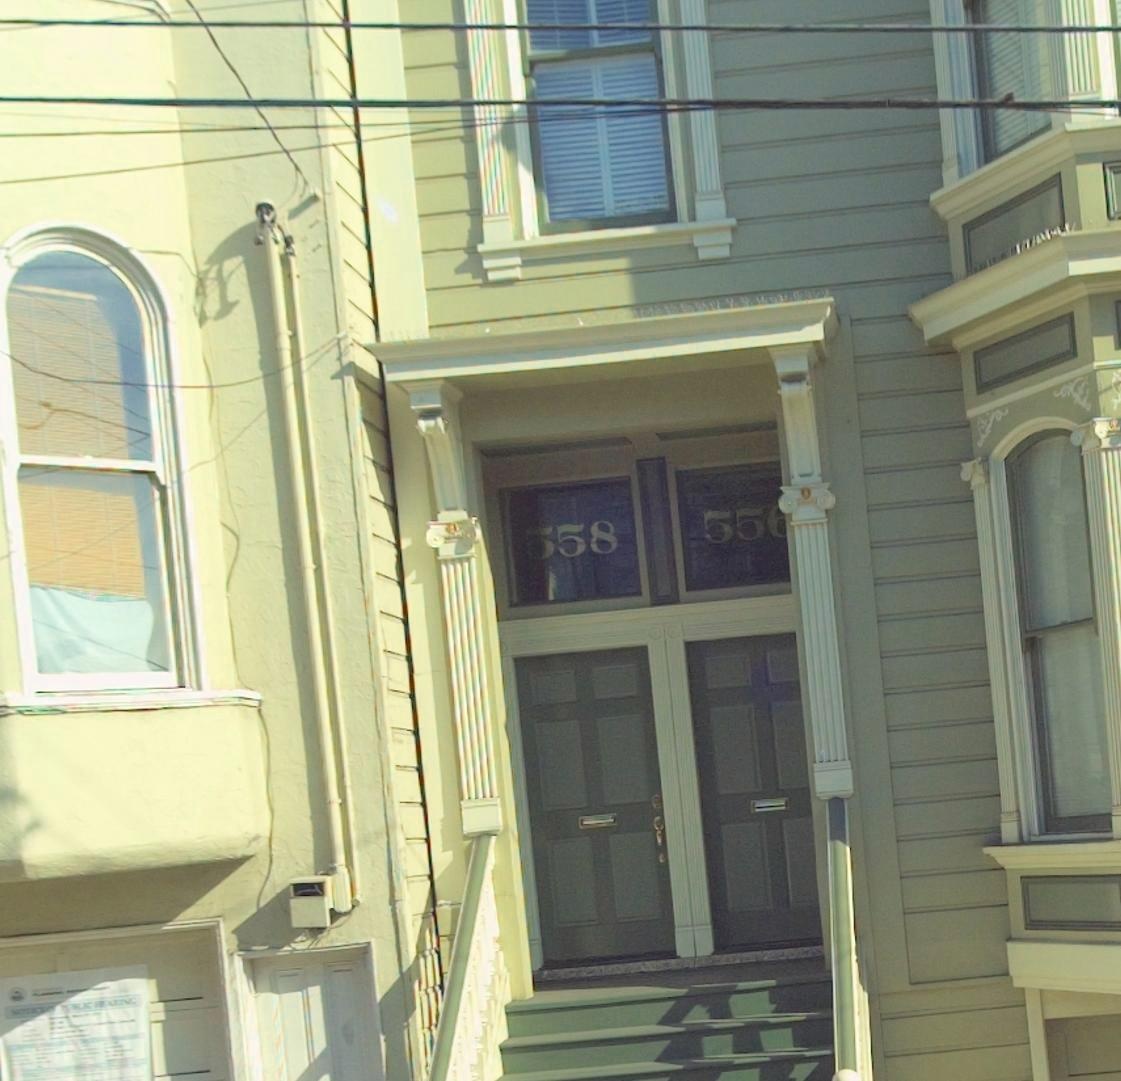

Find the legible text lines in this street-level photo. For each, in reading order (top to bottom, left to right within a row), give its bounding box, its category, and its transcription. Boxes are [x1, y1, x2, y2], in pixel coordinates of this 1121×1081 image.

[518, 517, 622, 563] StreetNumber: 558
[699, 500, 790, 545] StreetNumber: 55*